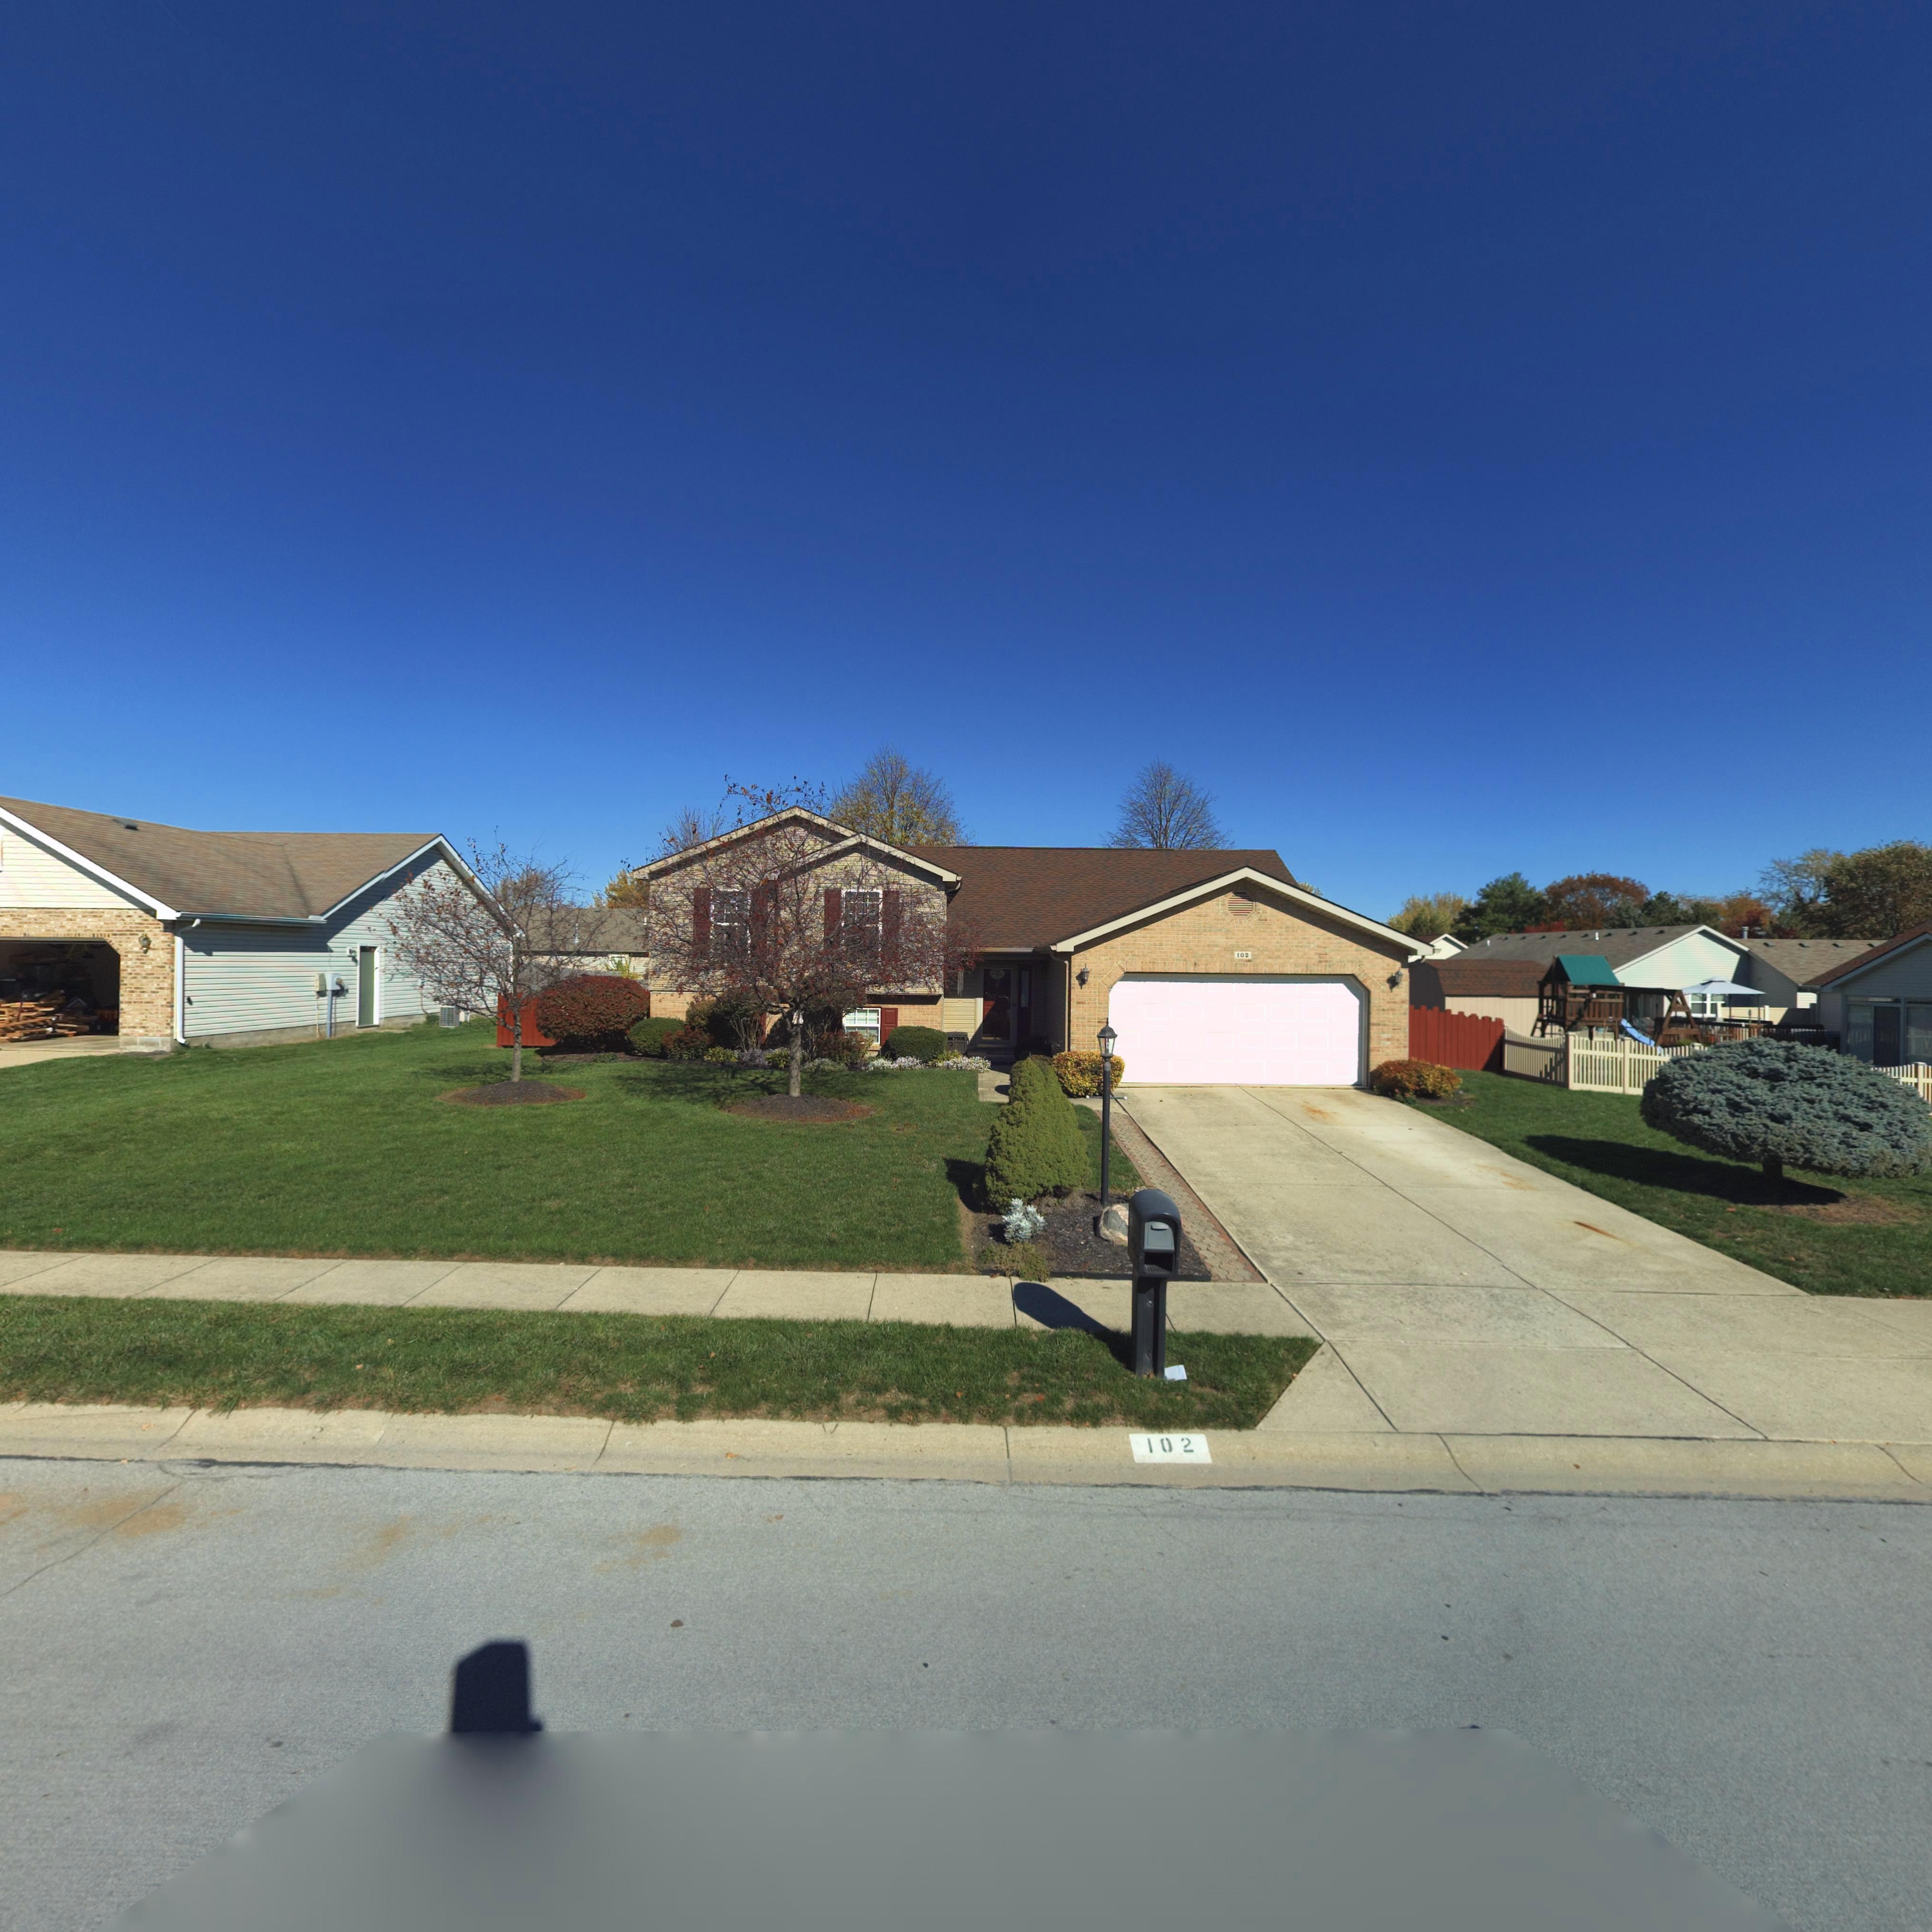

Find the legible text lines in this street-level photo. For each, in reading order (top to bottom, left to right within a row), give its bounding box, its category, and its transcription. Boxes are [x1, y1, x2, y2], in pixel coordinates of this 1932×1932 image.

[1236, 952, 1249, 958] StreetNumber: 102
[1145, 1437, 1196, 1455] StreetNumber: 102